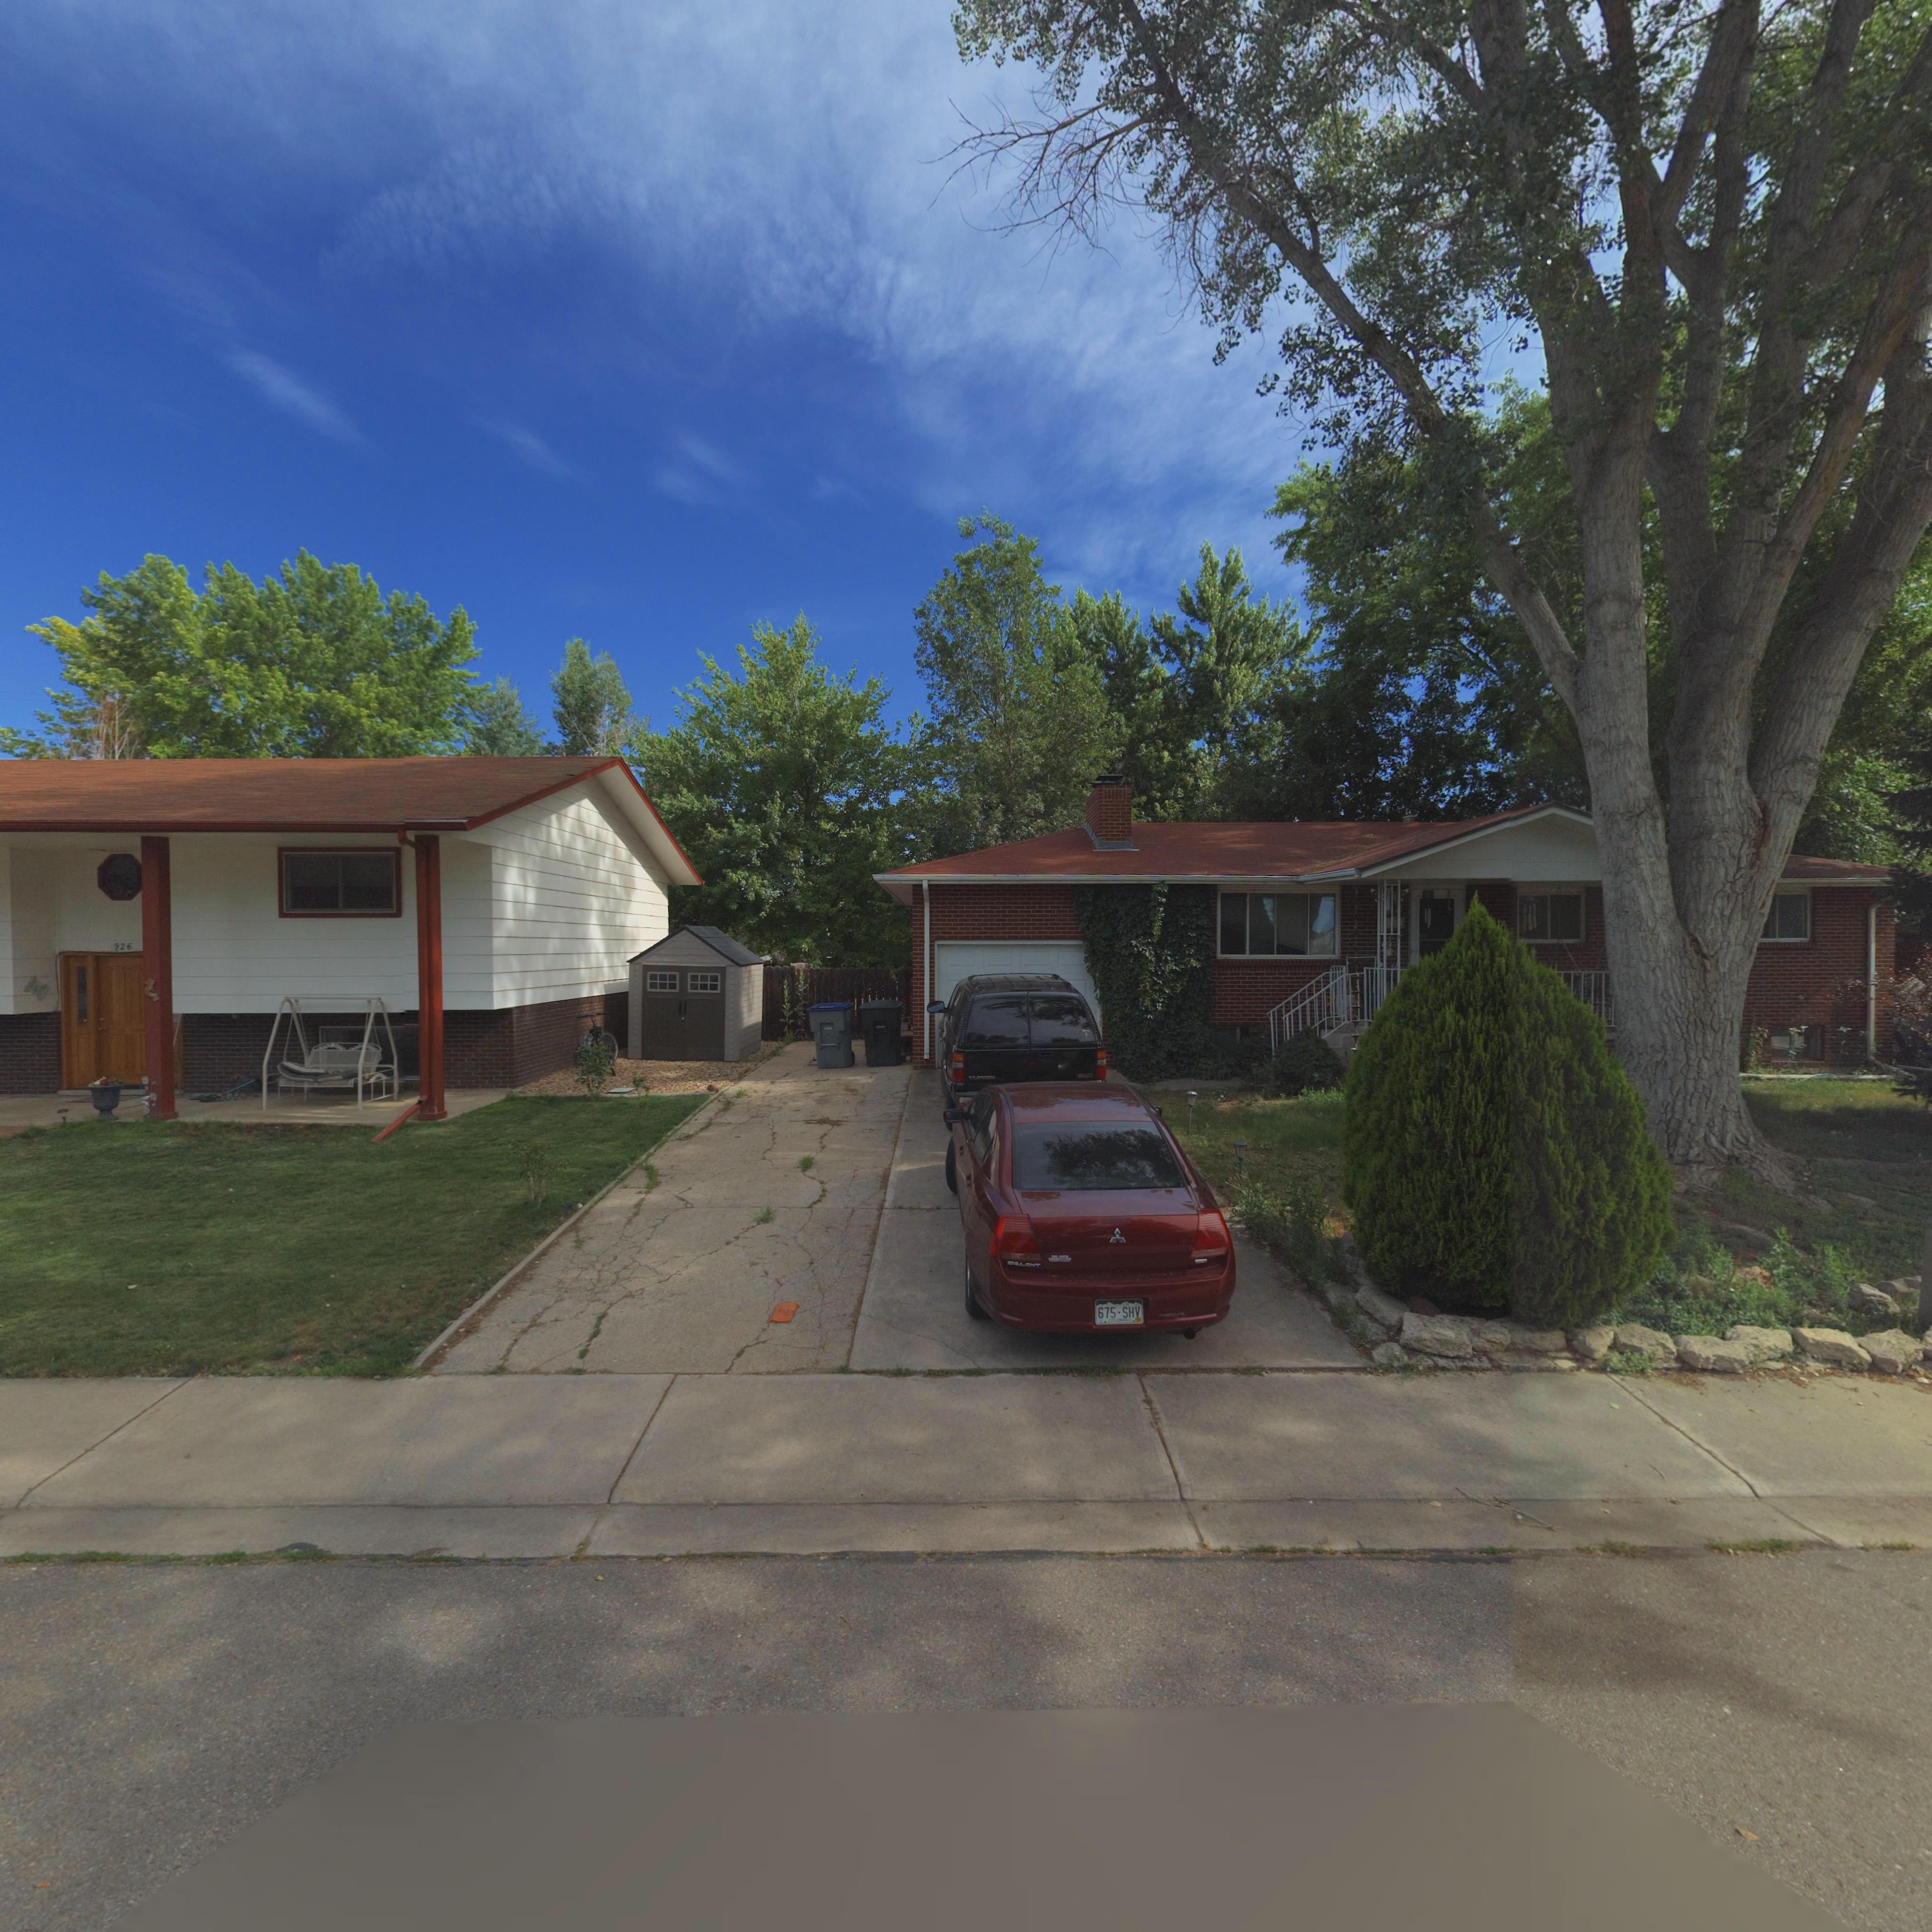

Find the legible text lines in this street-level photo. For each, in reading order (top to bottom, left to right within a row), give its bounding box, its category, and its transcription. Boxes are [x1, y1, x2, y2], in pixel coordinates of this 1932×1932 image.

[114, 942, 132, 950] StreetNumber: 926